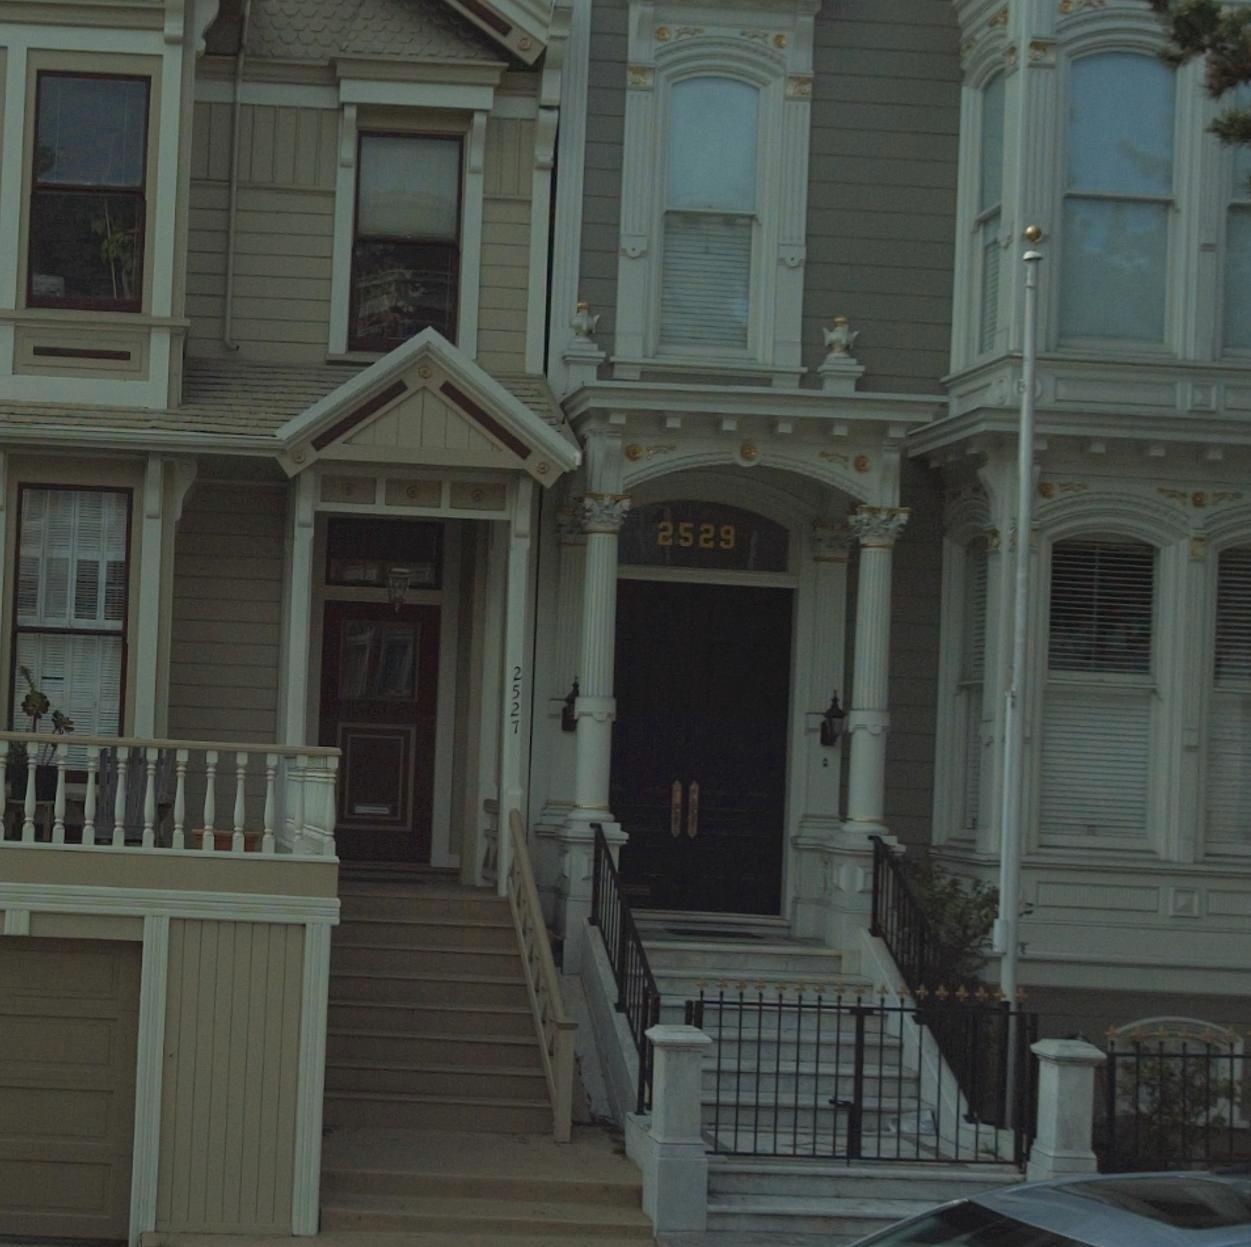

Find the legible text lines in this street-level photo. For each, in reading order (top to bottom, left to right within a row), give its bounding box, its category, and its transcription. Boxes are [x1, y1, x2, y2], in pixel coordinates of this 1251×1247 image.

[655, 517, 738, 552] StreetNumber: 2529
[508, 663, 525, 737] StreetNumber: 2527